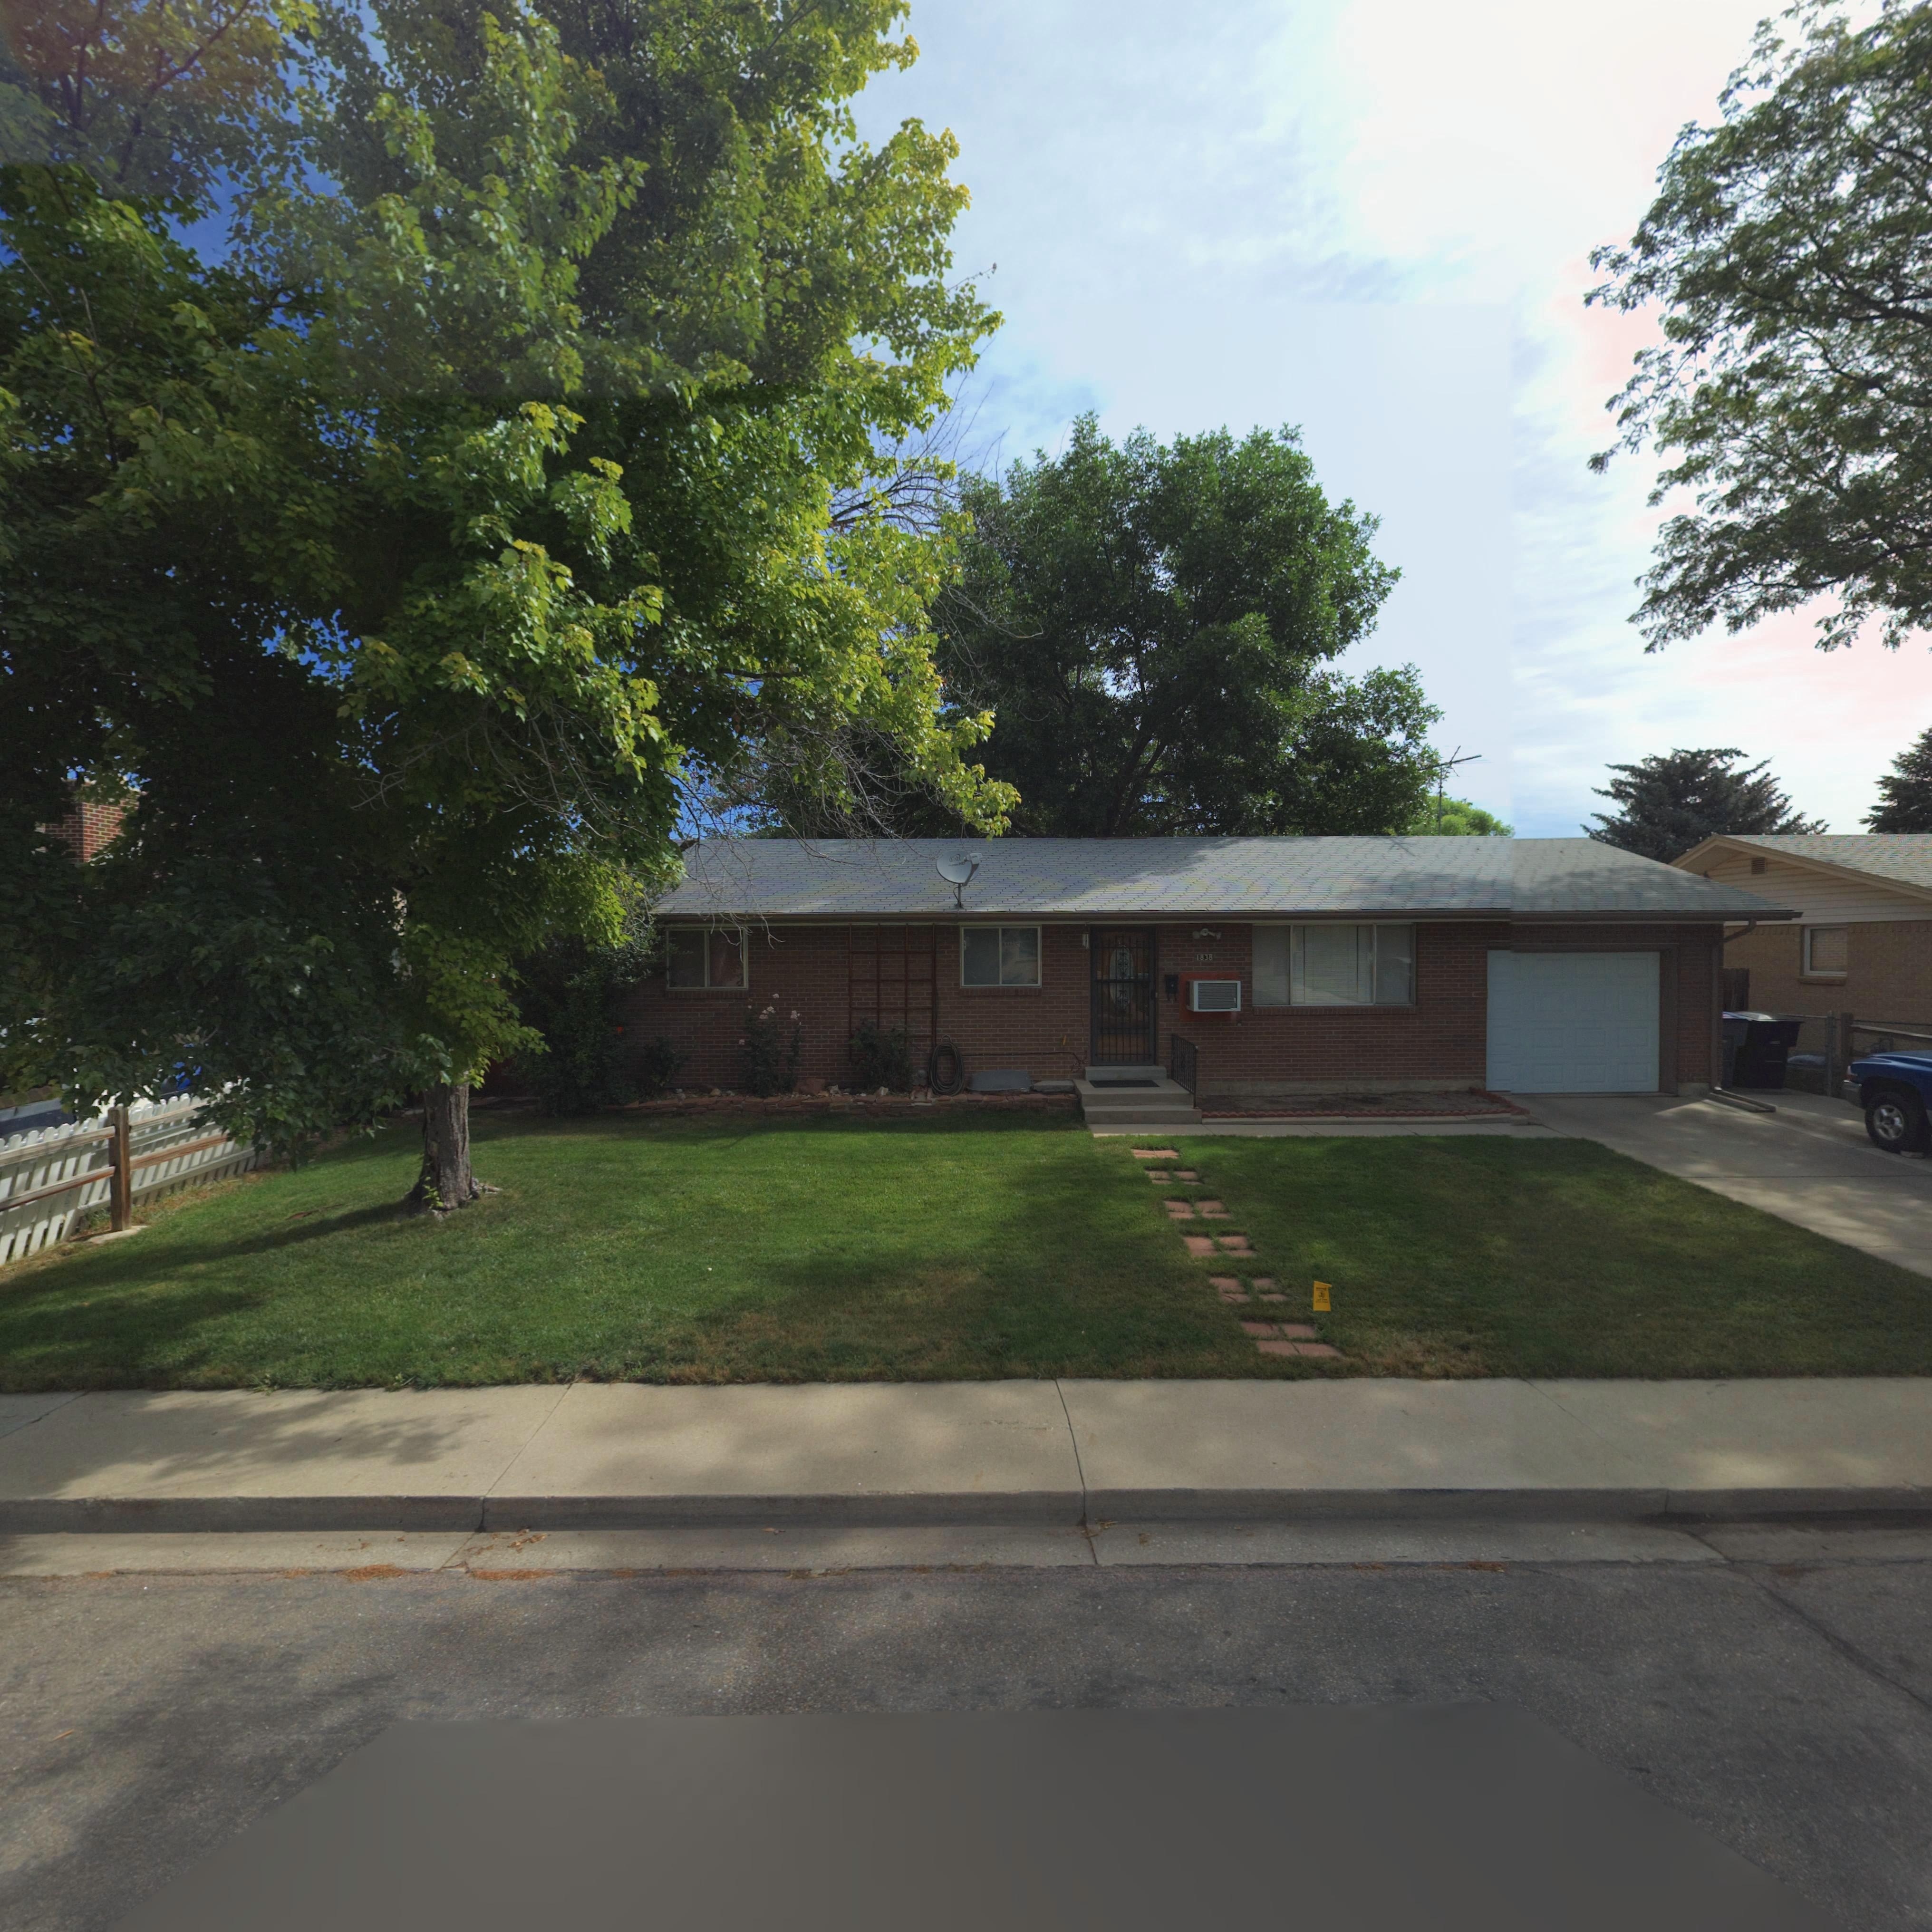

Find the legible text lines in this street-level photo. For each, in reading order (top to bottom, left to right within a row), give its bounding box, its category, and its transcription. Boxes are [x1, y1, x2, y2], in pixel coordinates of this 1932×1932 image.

[1196, 954, 1212, 961] StreetNumber: 1838